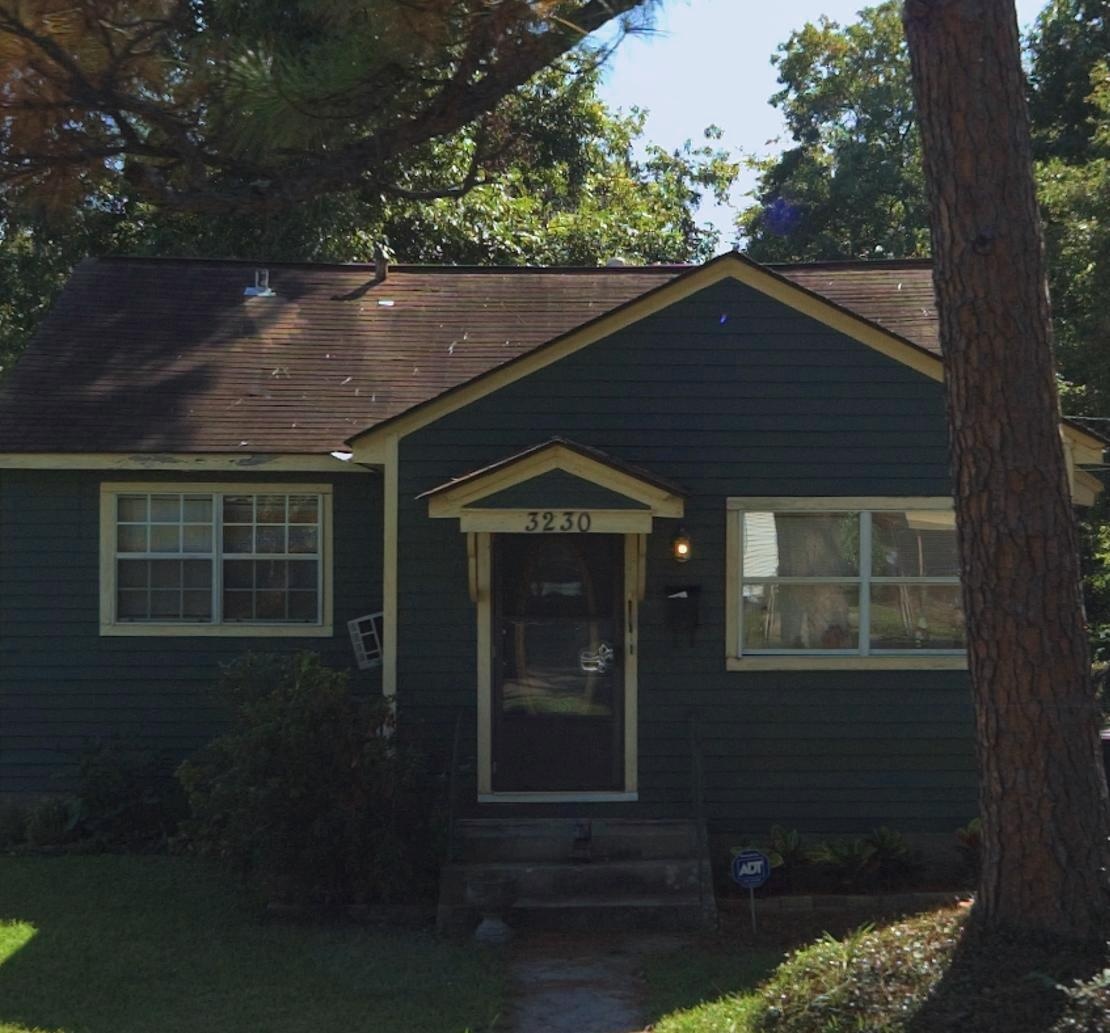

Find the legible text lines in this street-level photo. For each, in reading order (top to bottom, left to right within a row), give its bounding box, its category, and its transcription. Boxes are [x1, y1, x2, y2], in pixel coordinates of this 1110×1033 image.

[524, 509, 593, 533] StreetNumber: 3230
[736, 860, 764, 877] None: ADT